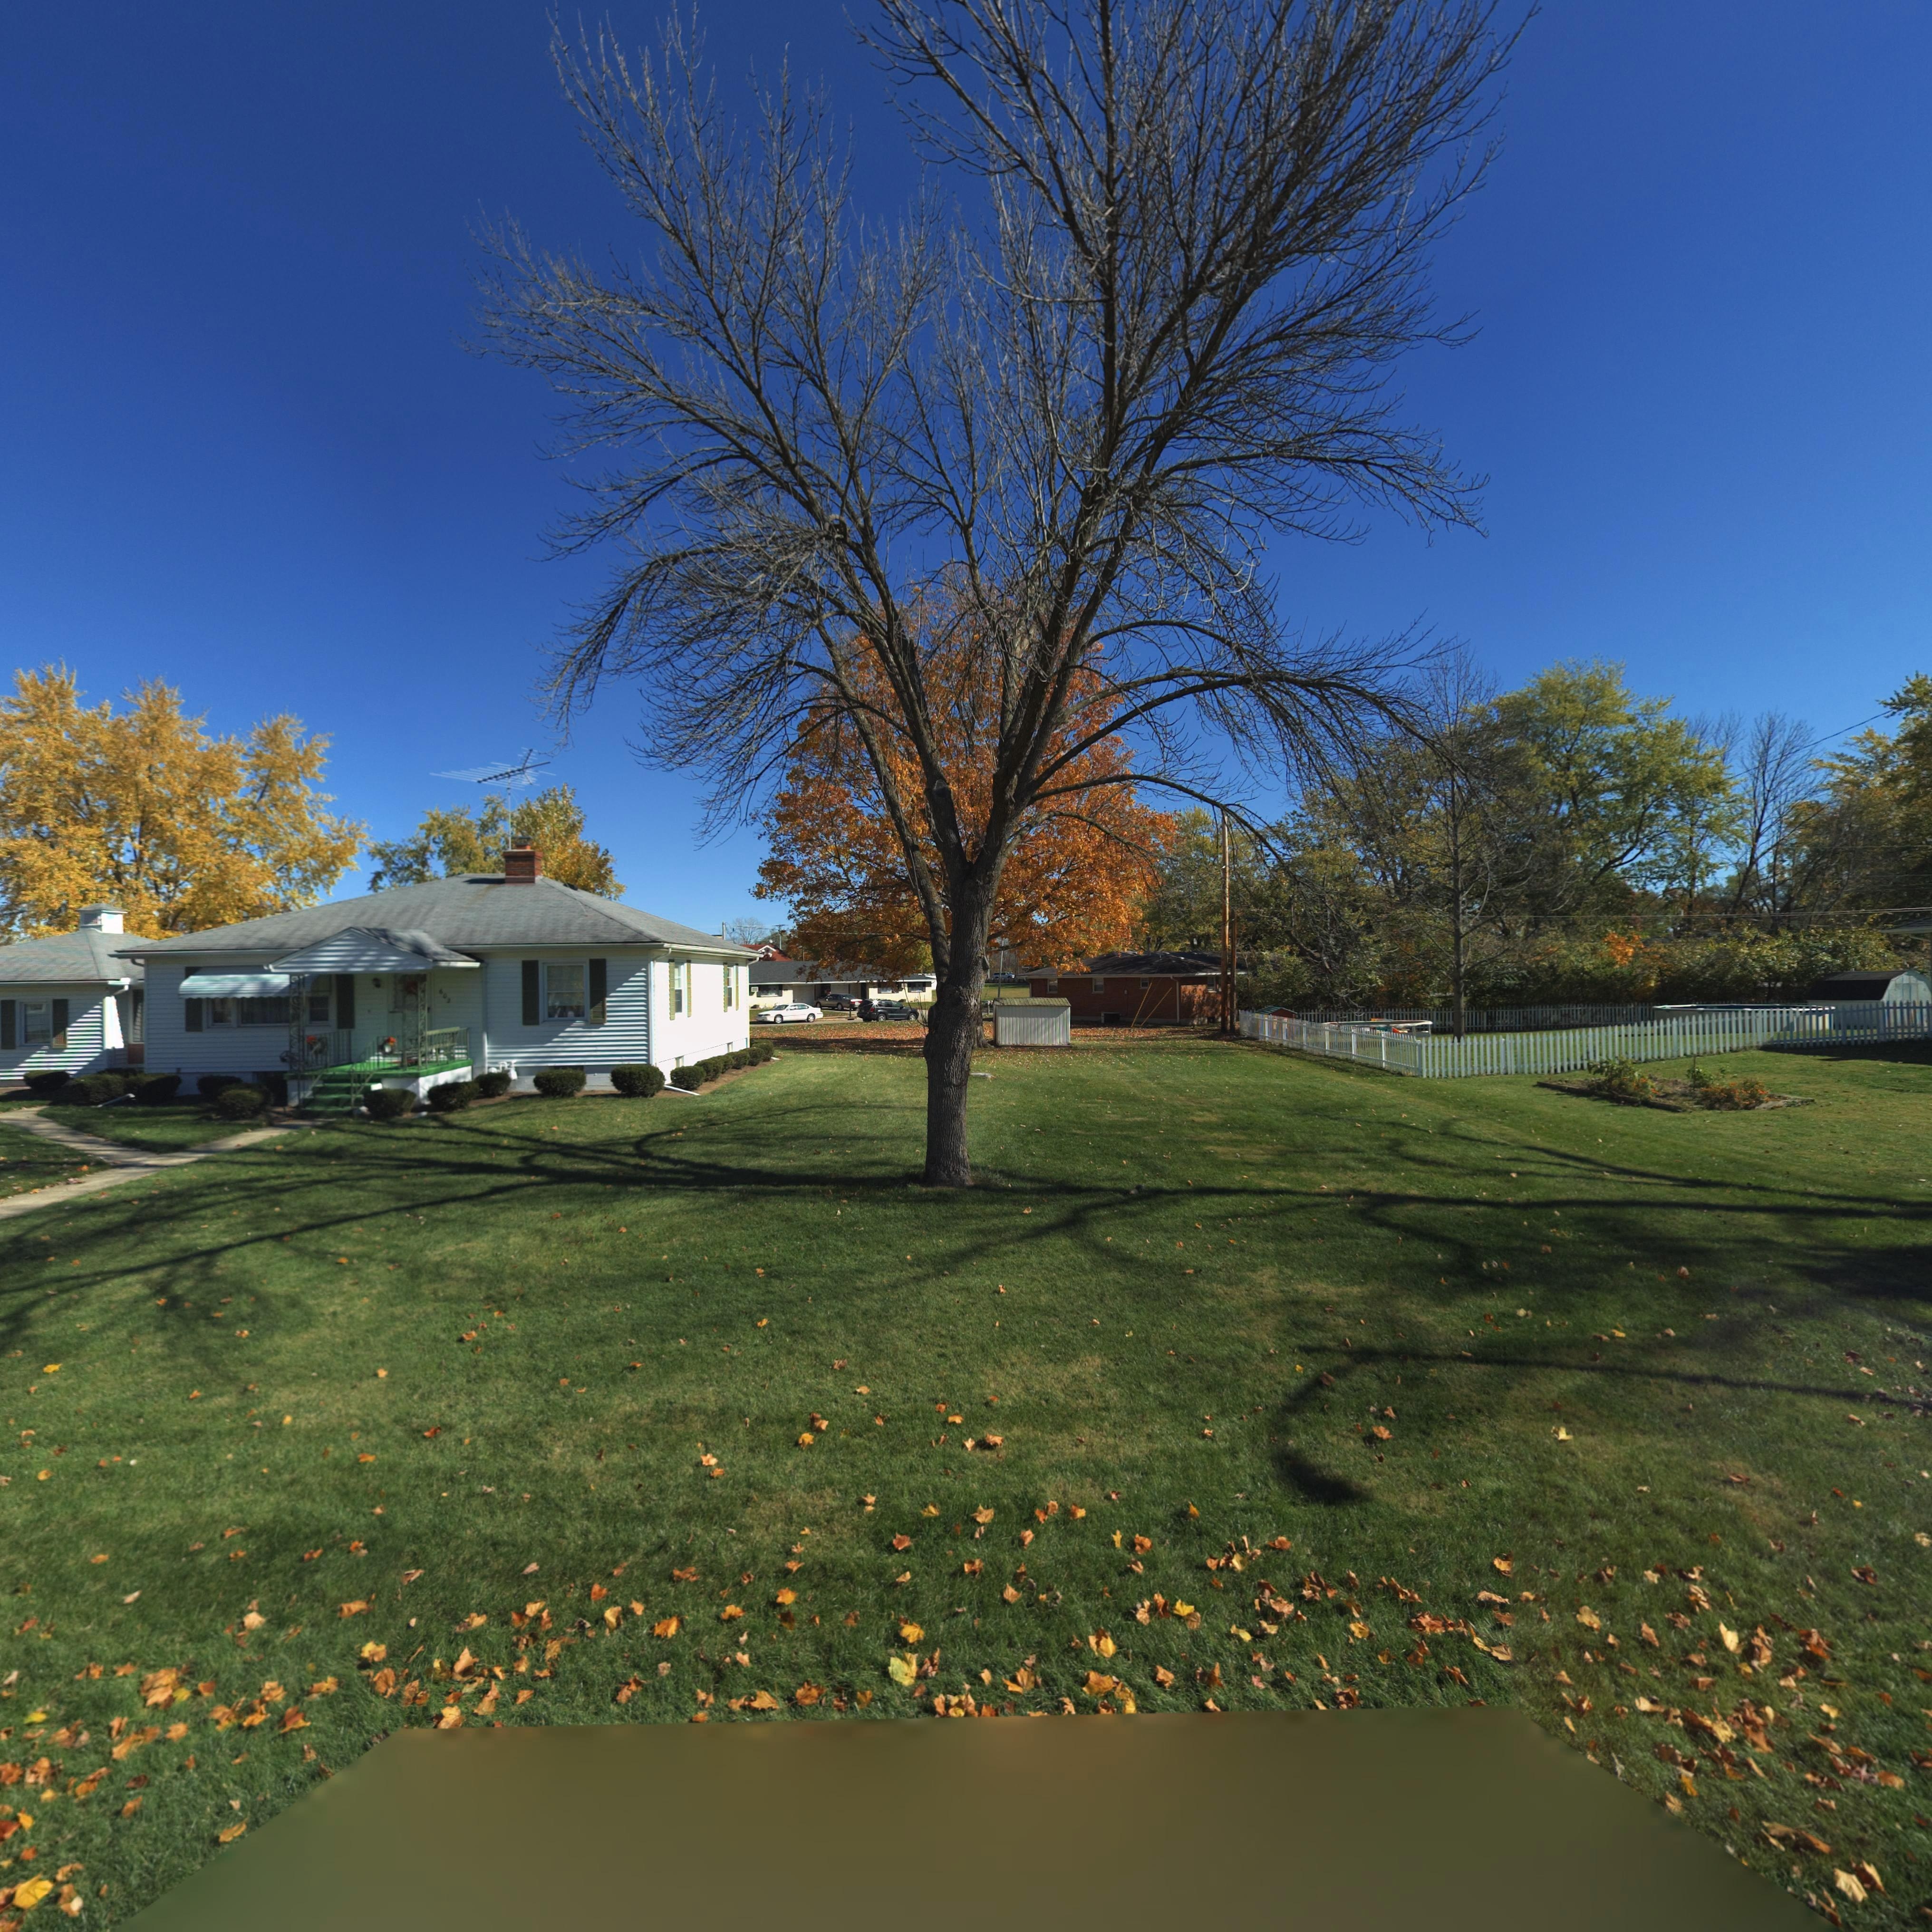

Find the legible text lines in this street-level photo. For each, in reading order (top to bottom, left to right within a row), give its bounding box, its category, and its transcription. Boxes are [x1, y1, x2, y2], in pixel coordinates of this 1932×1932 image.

[438, 987, 451, 1005] StreetNumber: 602